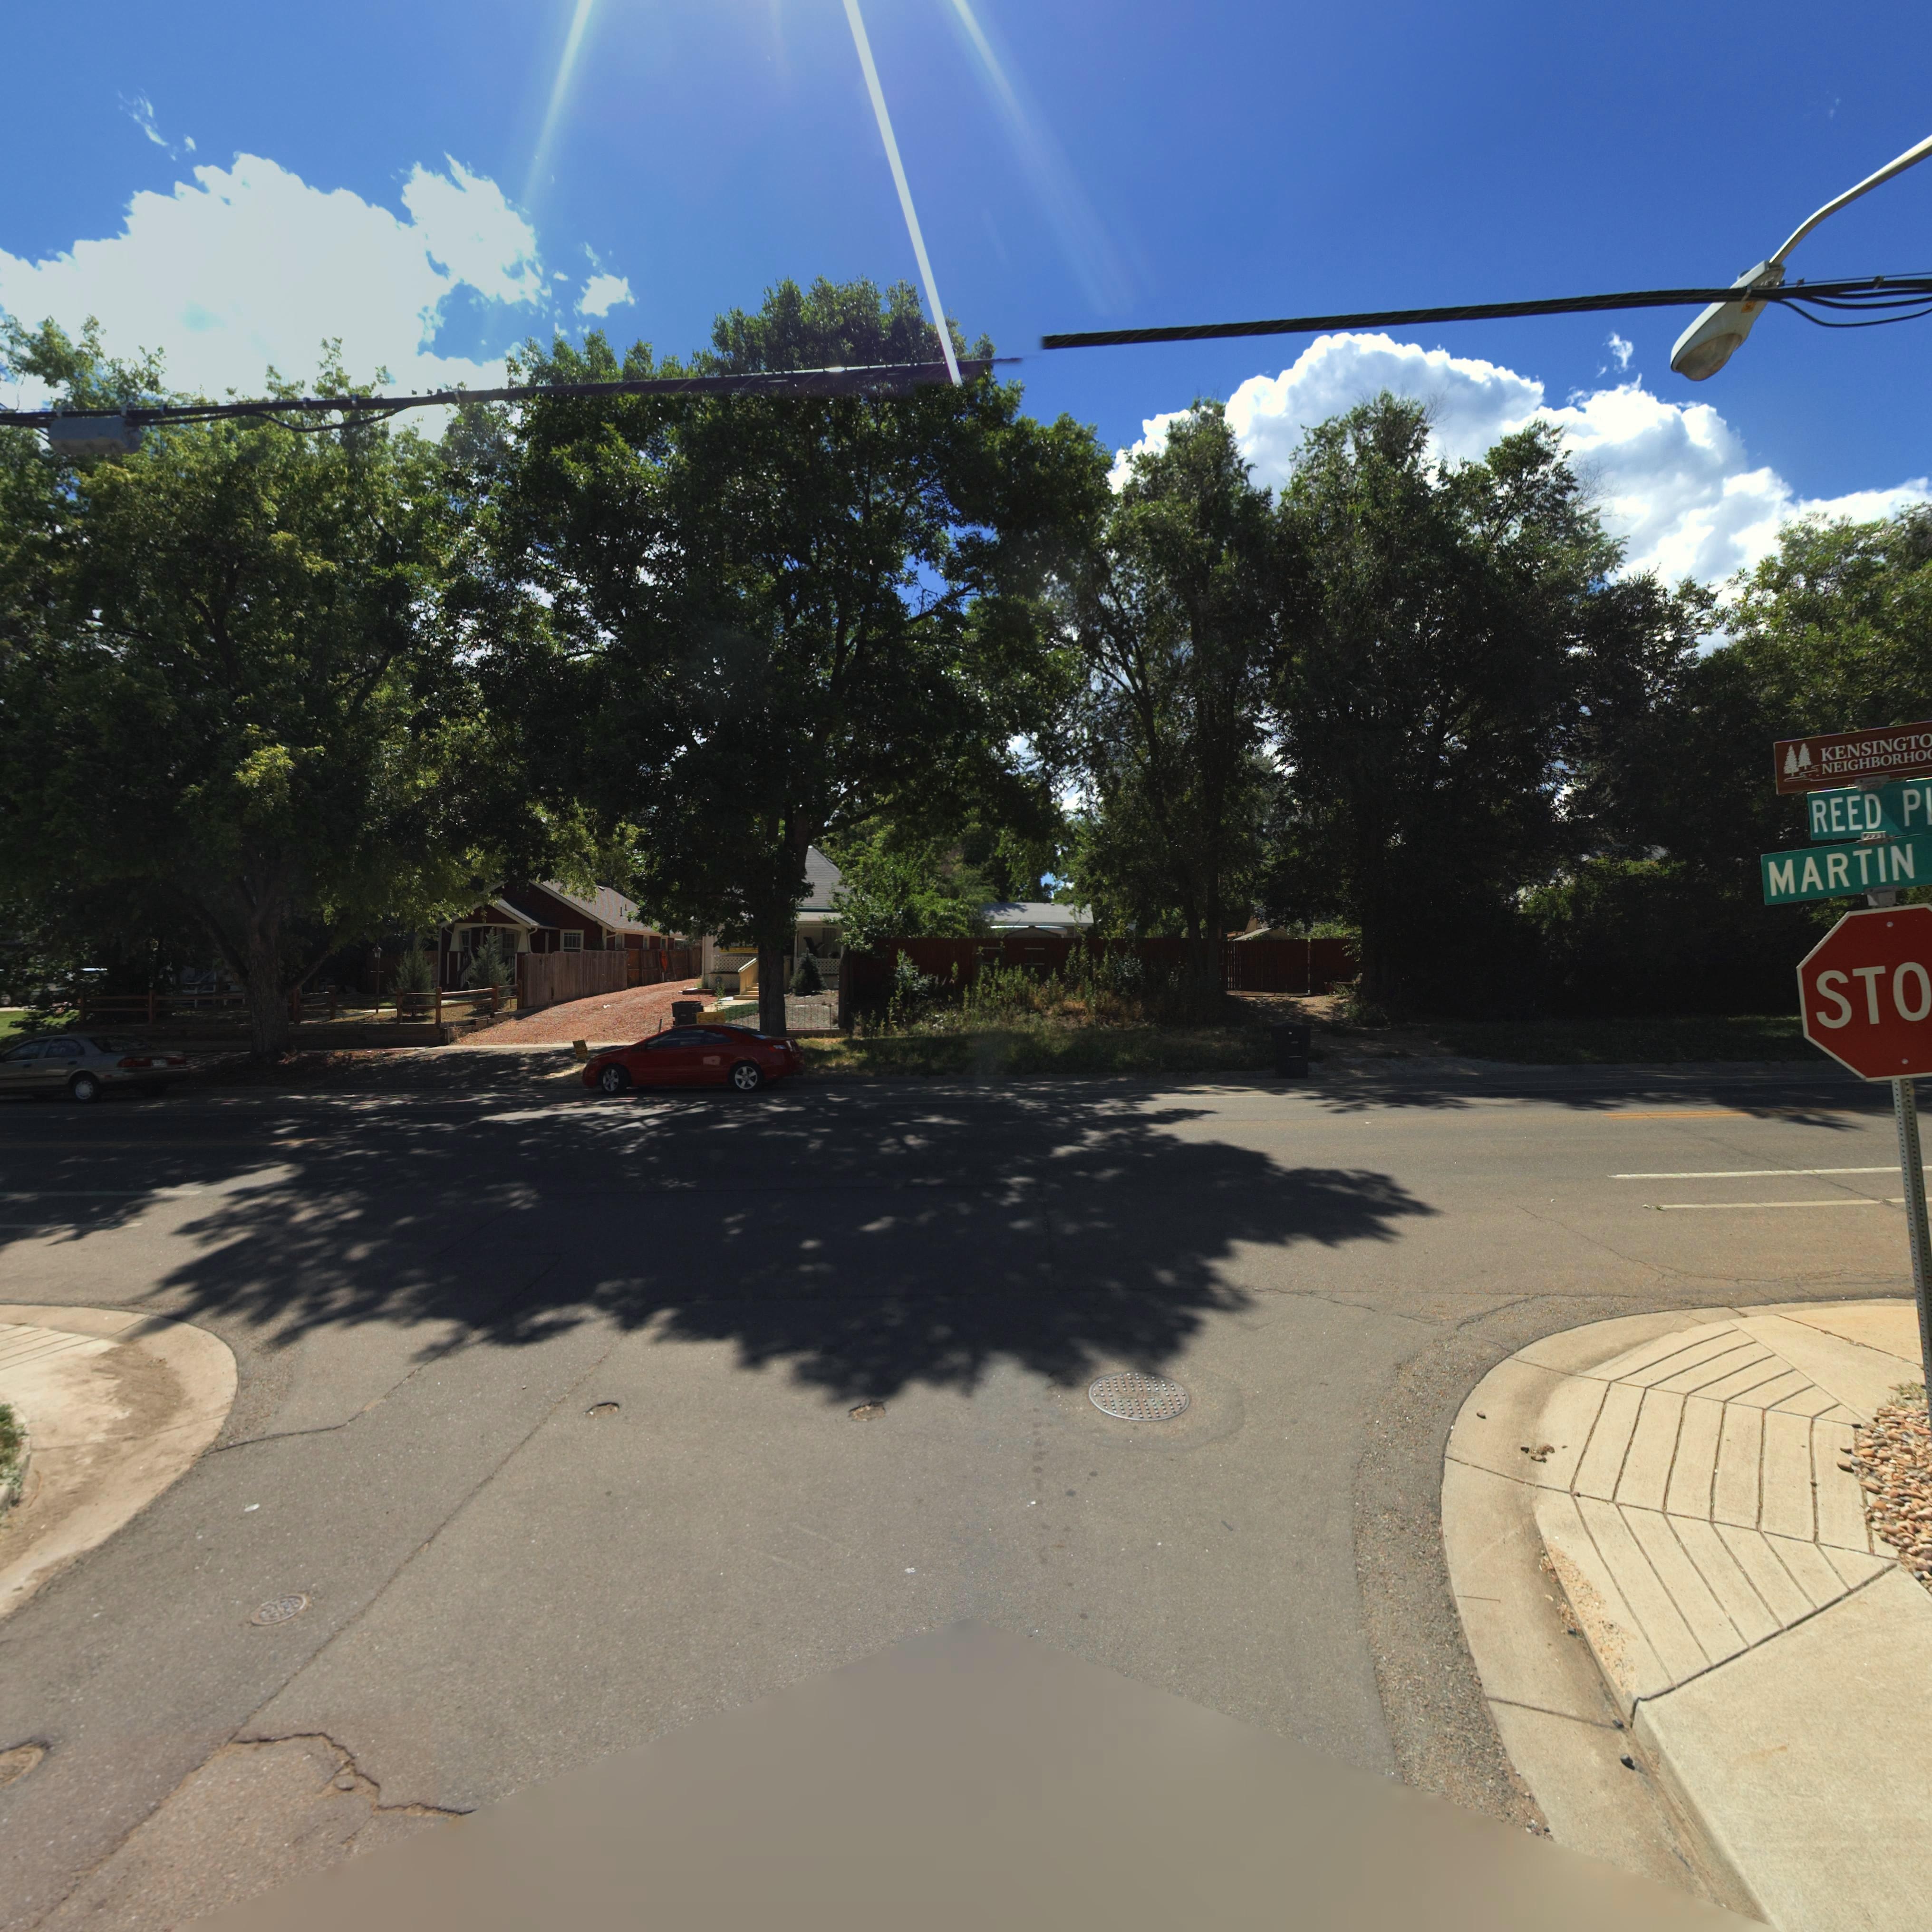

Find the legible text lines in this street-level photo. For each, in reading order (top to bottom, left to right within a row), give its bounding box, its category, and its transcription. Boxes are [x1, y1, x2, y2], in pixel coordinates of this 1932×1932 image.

[1811, 788, 1921, 834] StreetName: REED P*
[1766, 842, 1915, 898] StreetName: MARTIN